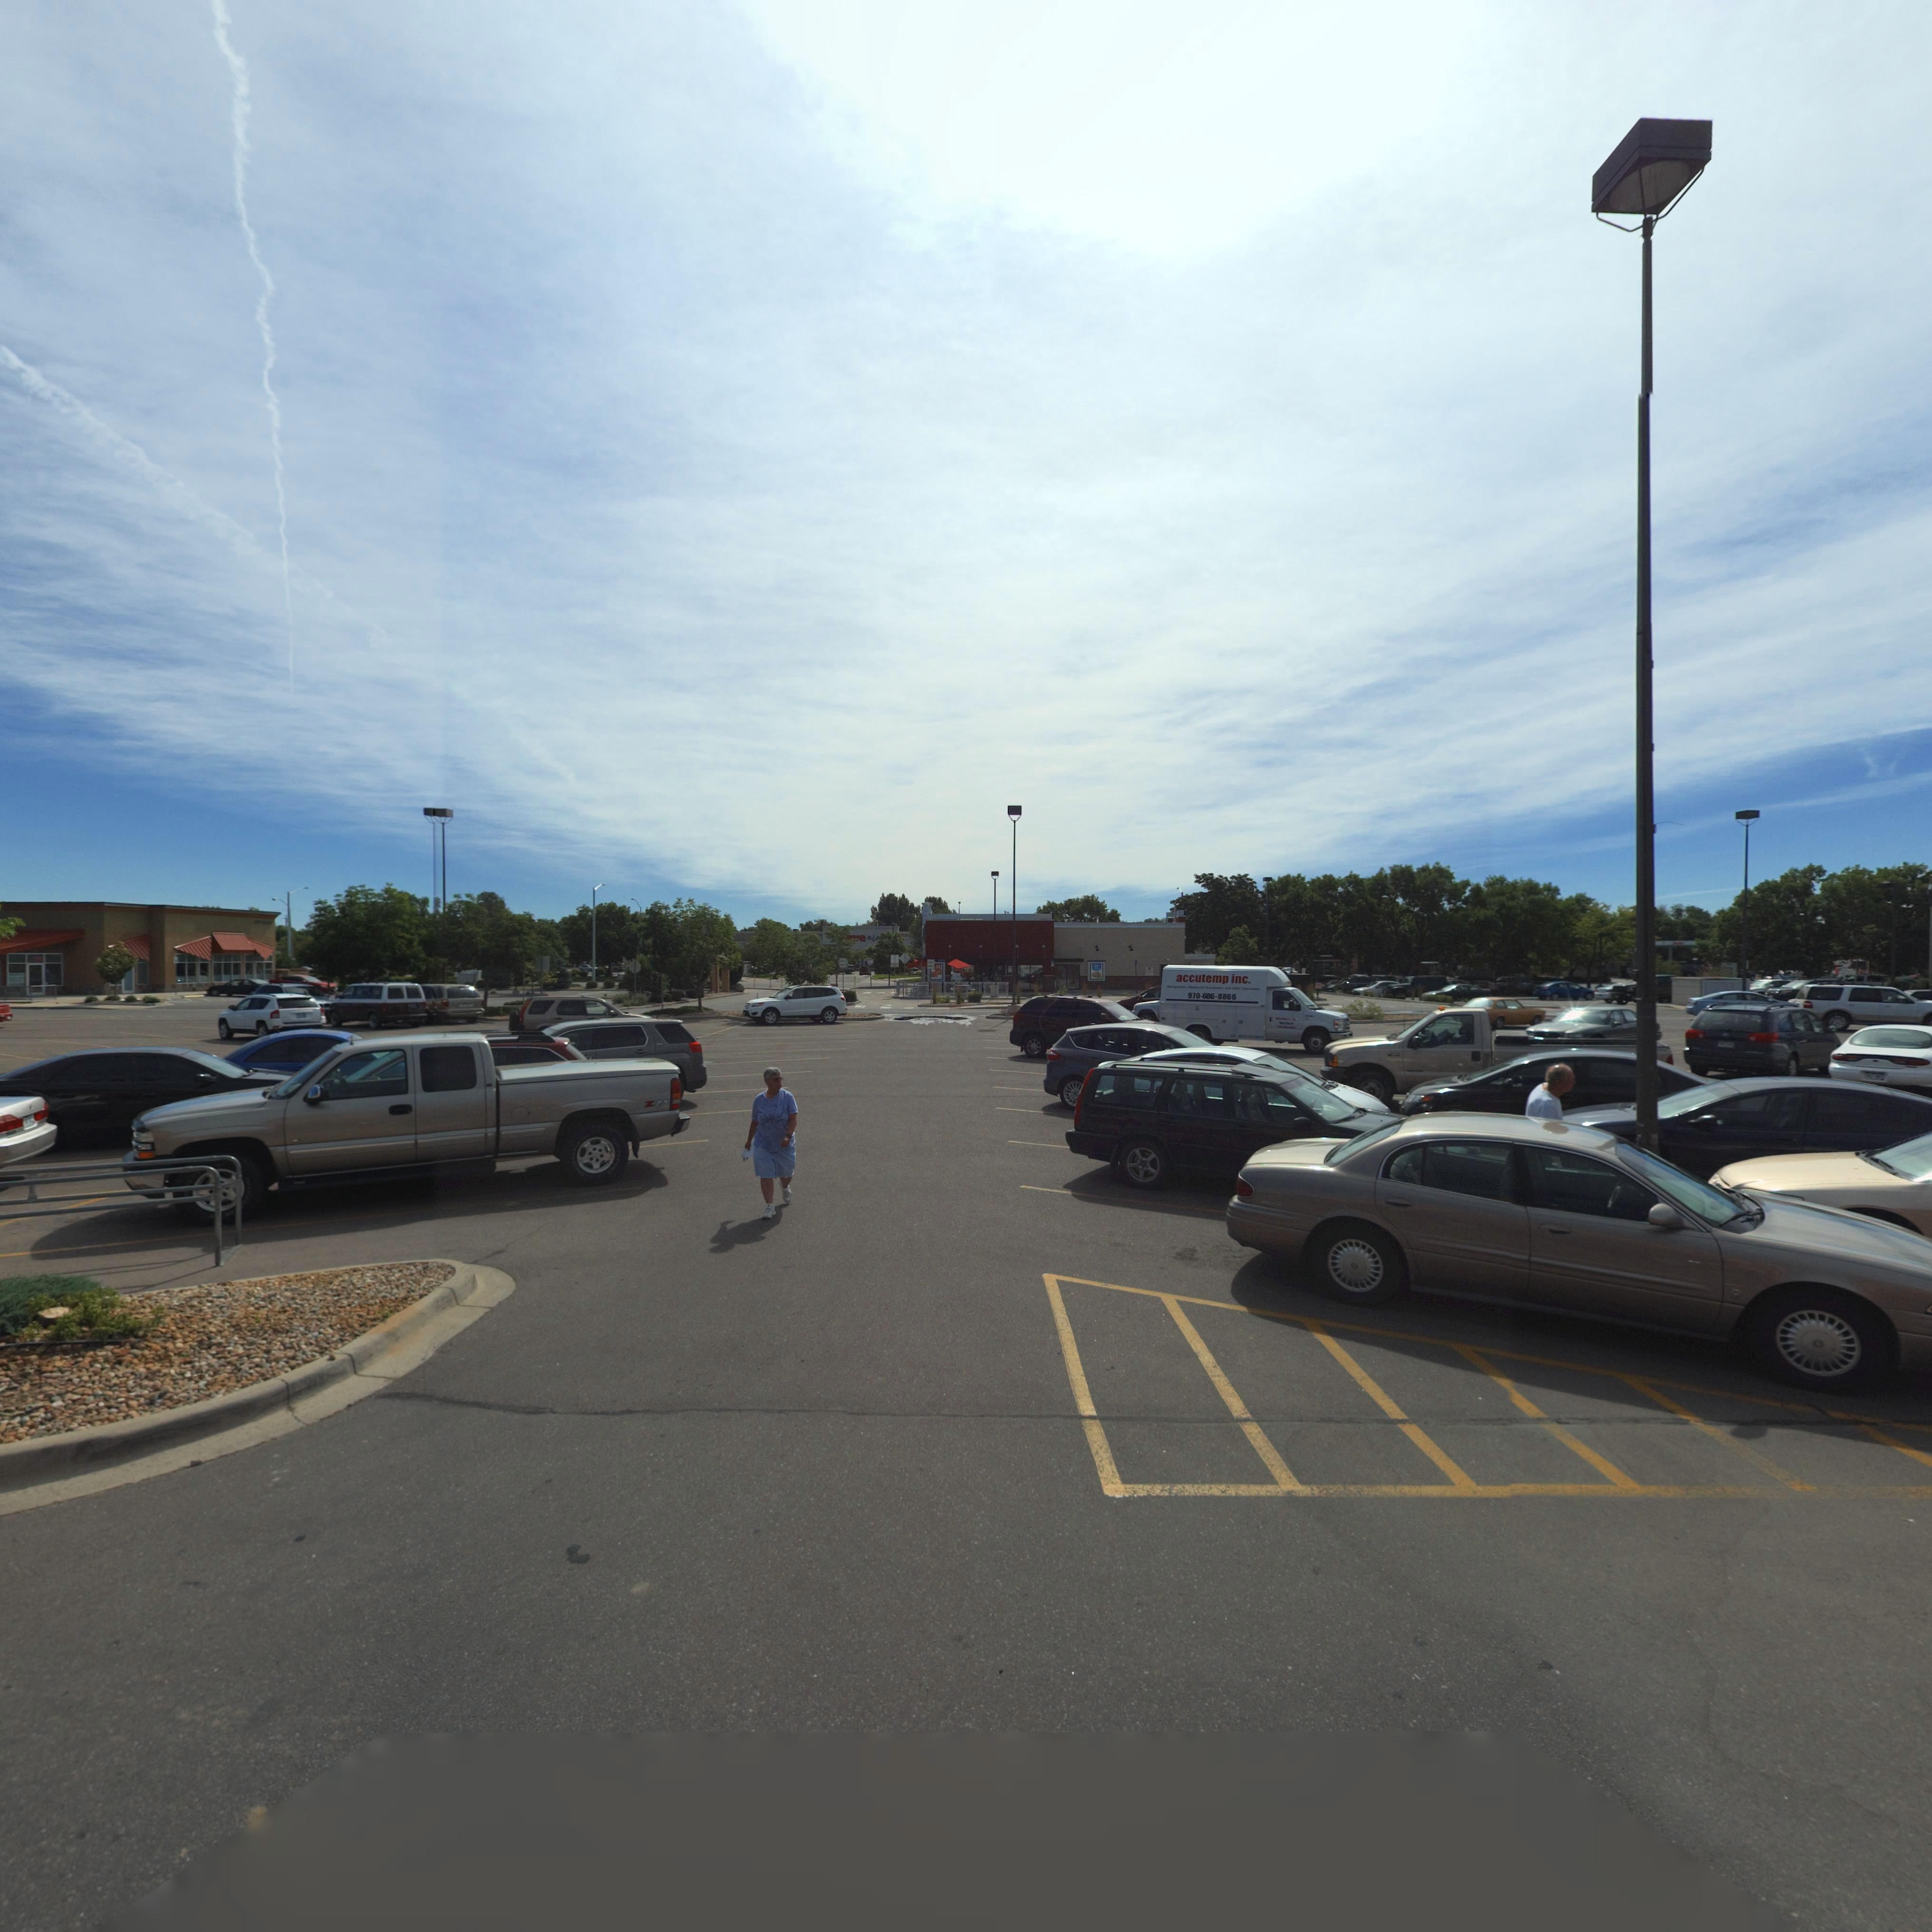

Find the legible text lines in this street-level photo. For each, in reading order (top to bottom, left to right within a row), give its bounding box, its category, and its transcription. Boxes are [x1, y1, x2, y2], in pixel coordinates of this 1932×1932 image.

[858, 934, 876, 942] BusinessName: e al